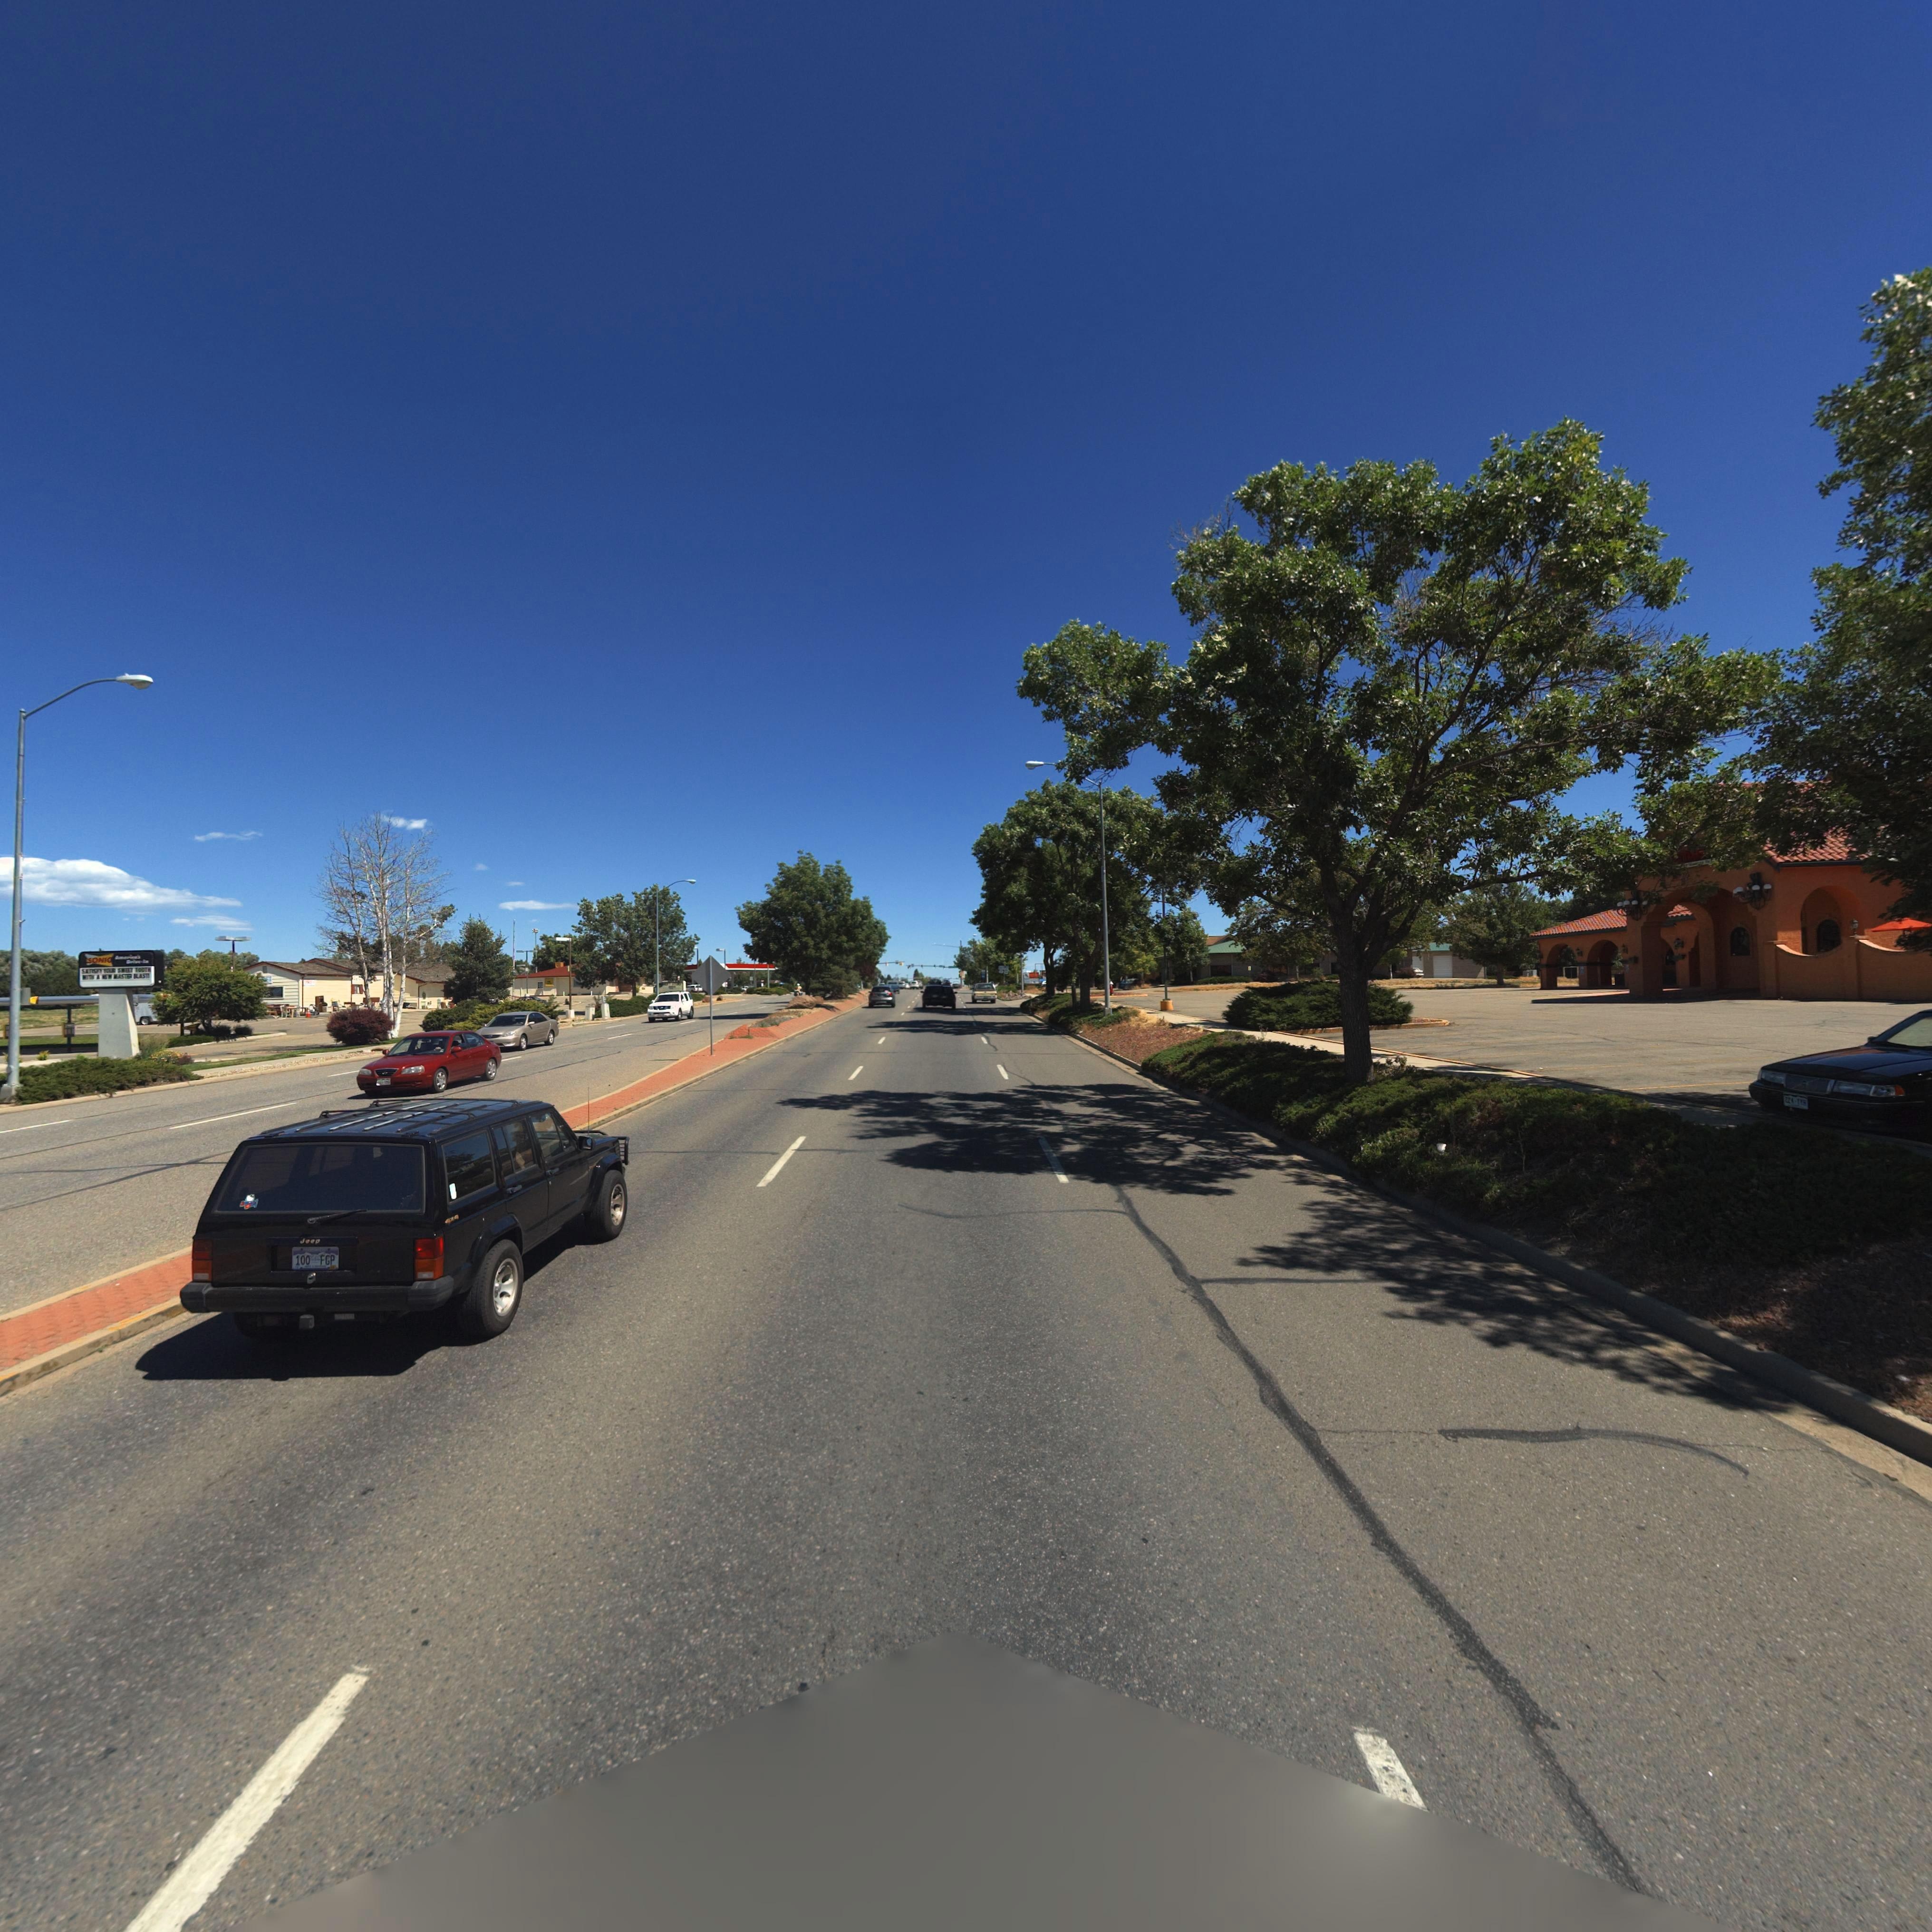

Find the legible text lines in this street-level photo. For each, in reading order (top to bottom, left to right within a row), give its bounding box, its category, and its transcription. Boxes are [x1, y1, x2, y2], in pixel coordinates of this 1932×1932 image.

[87, 956, 112, 963] BusinessName: SONIC